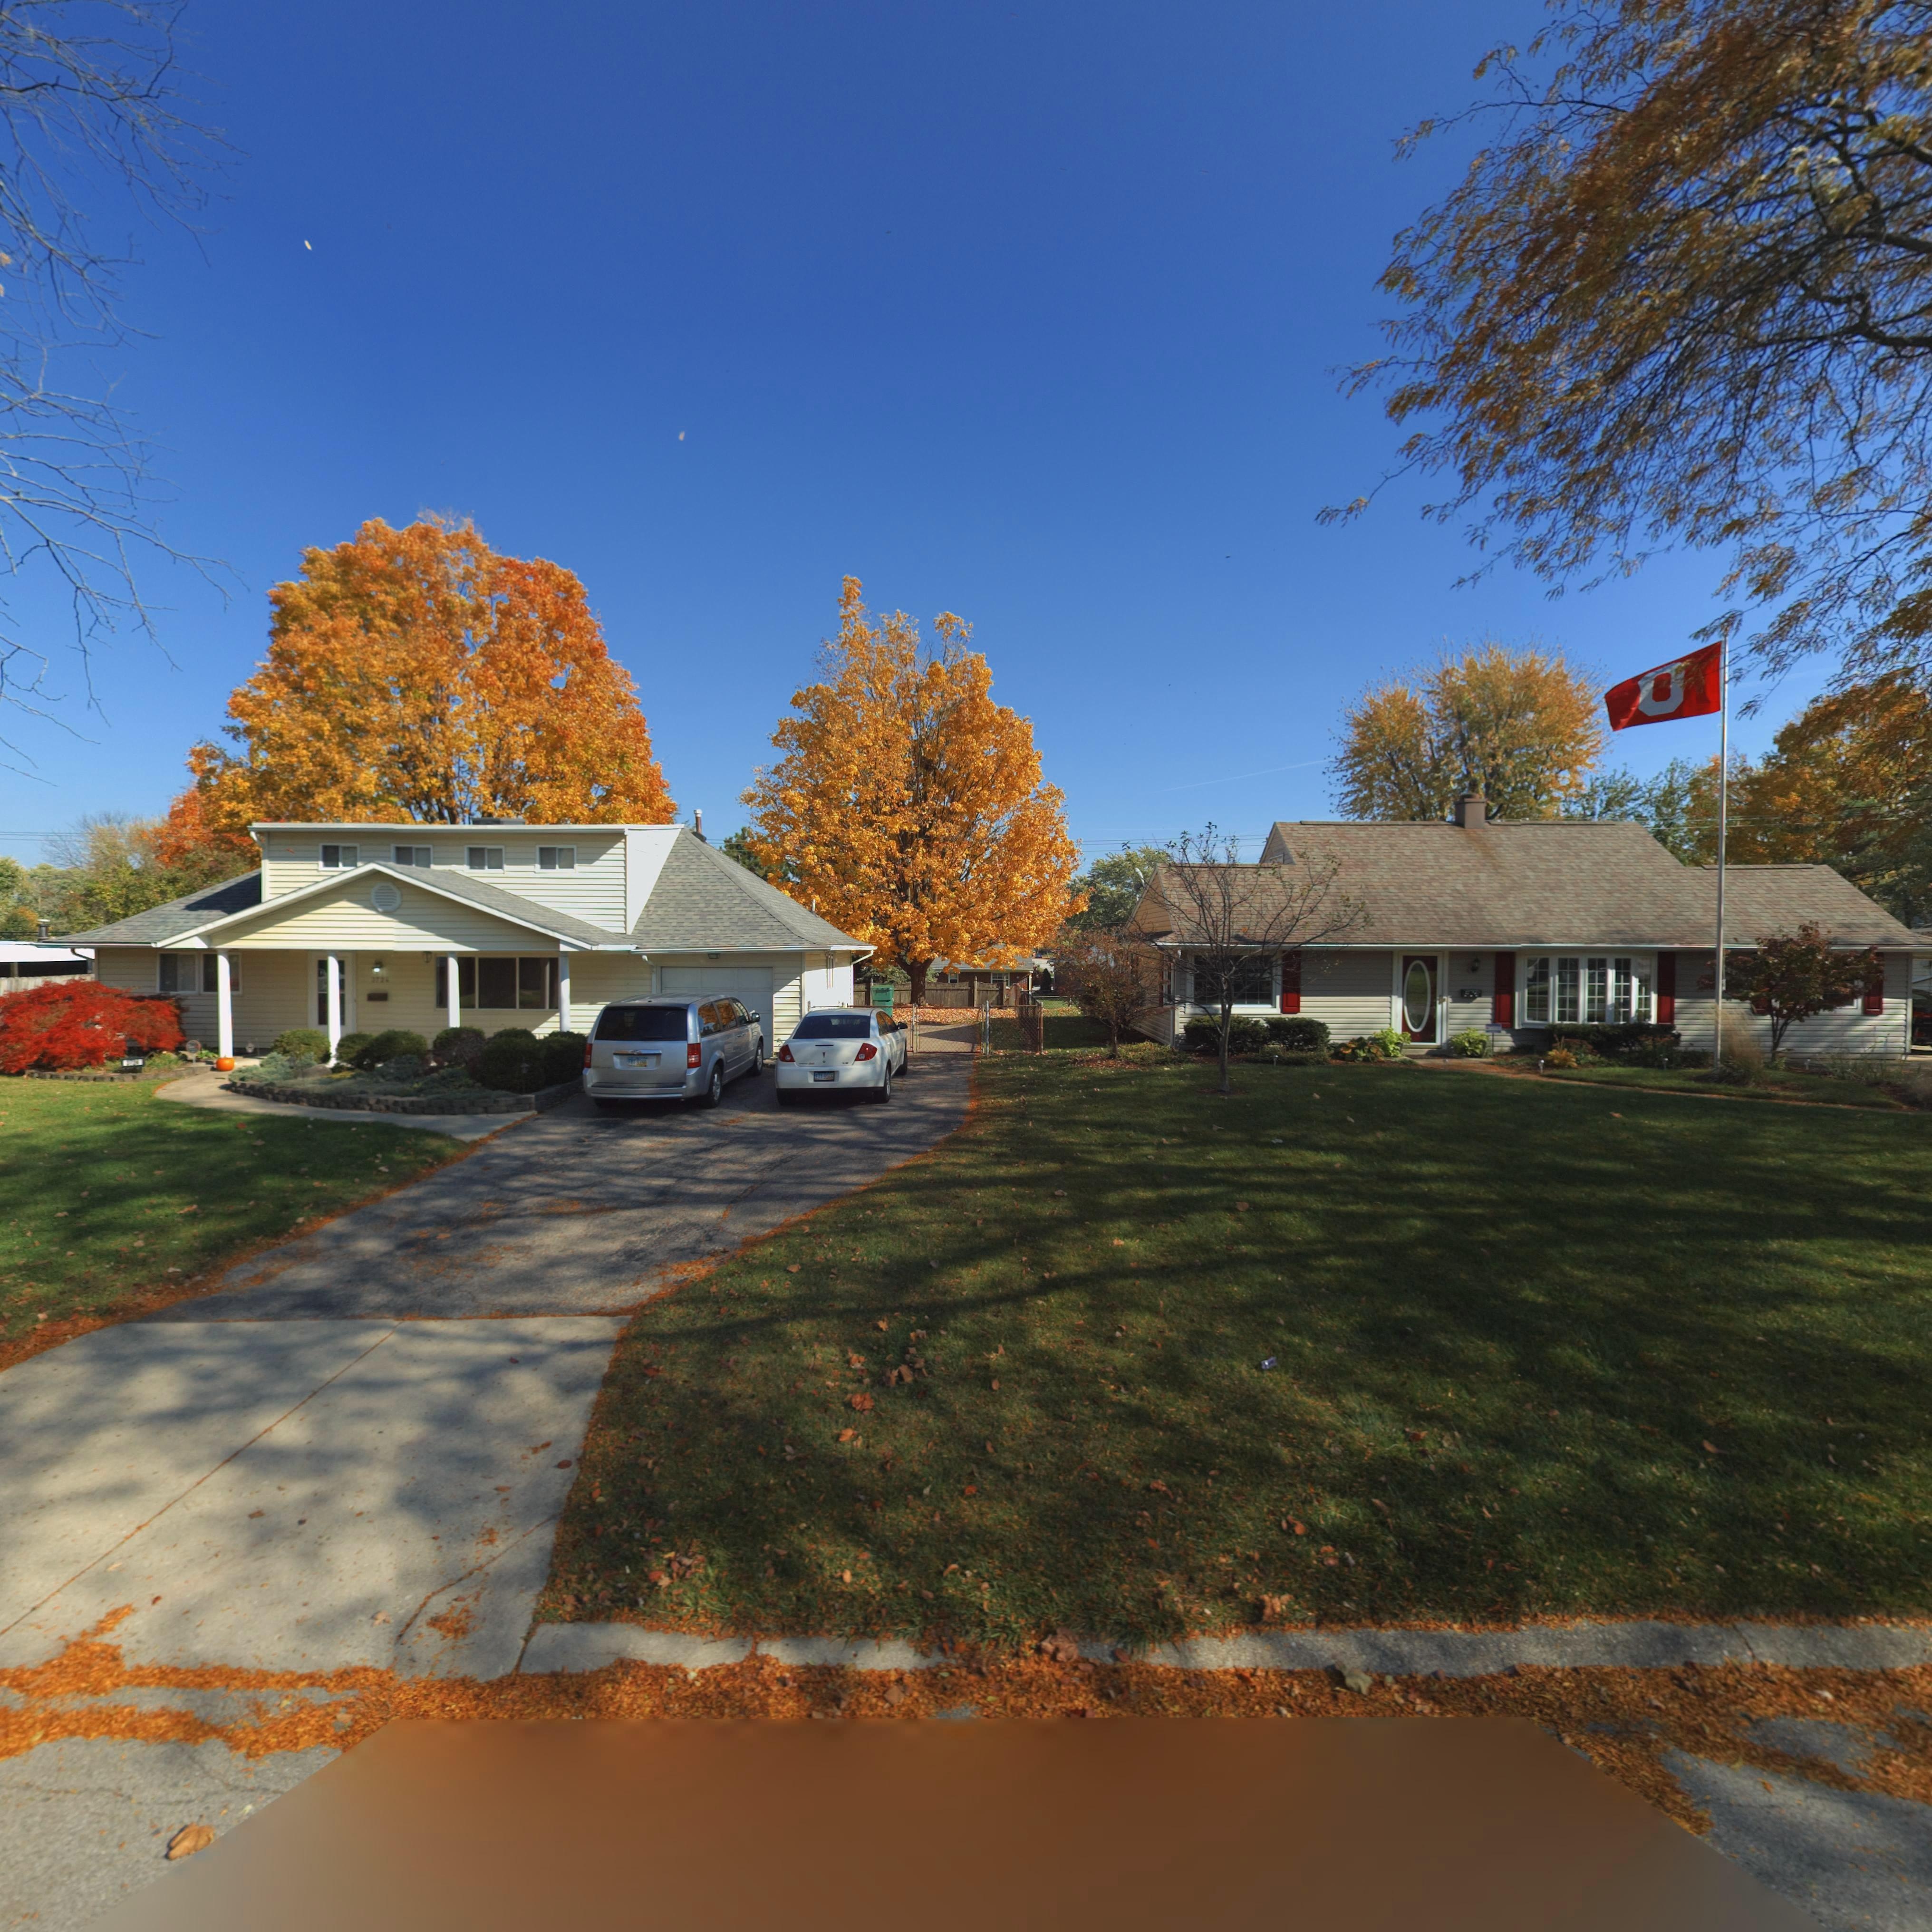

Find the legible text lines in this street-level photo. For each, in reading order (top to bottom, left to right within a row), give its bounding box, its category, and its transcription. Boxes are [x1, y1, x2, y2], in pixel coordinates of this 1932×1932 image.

[371, 976, 388, 983] StreetNumber: 3***